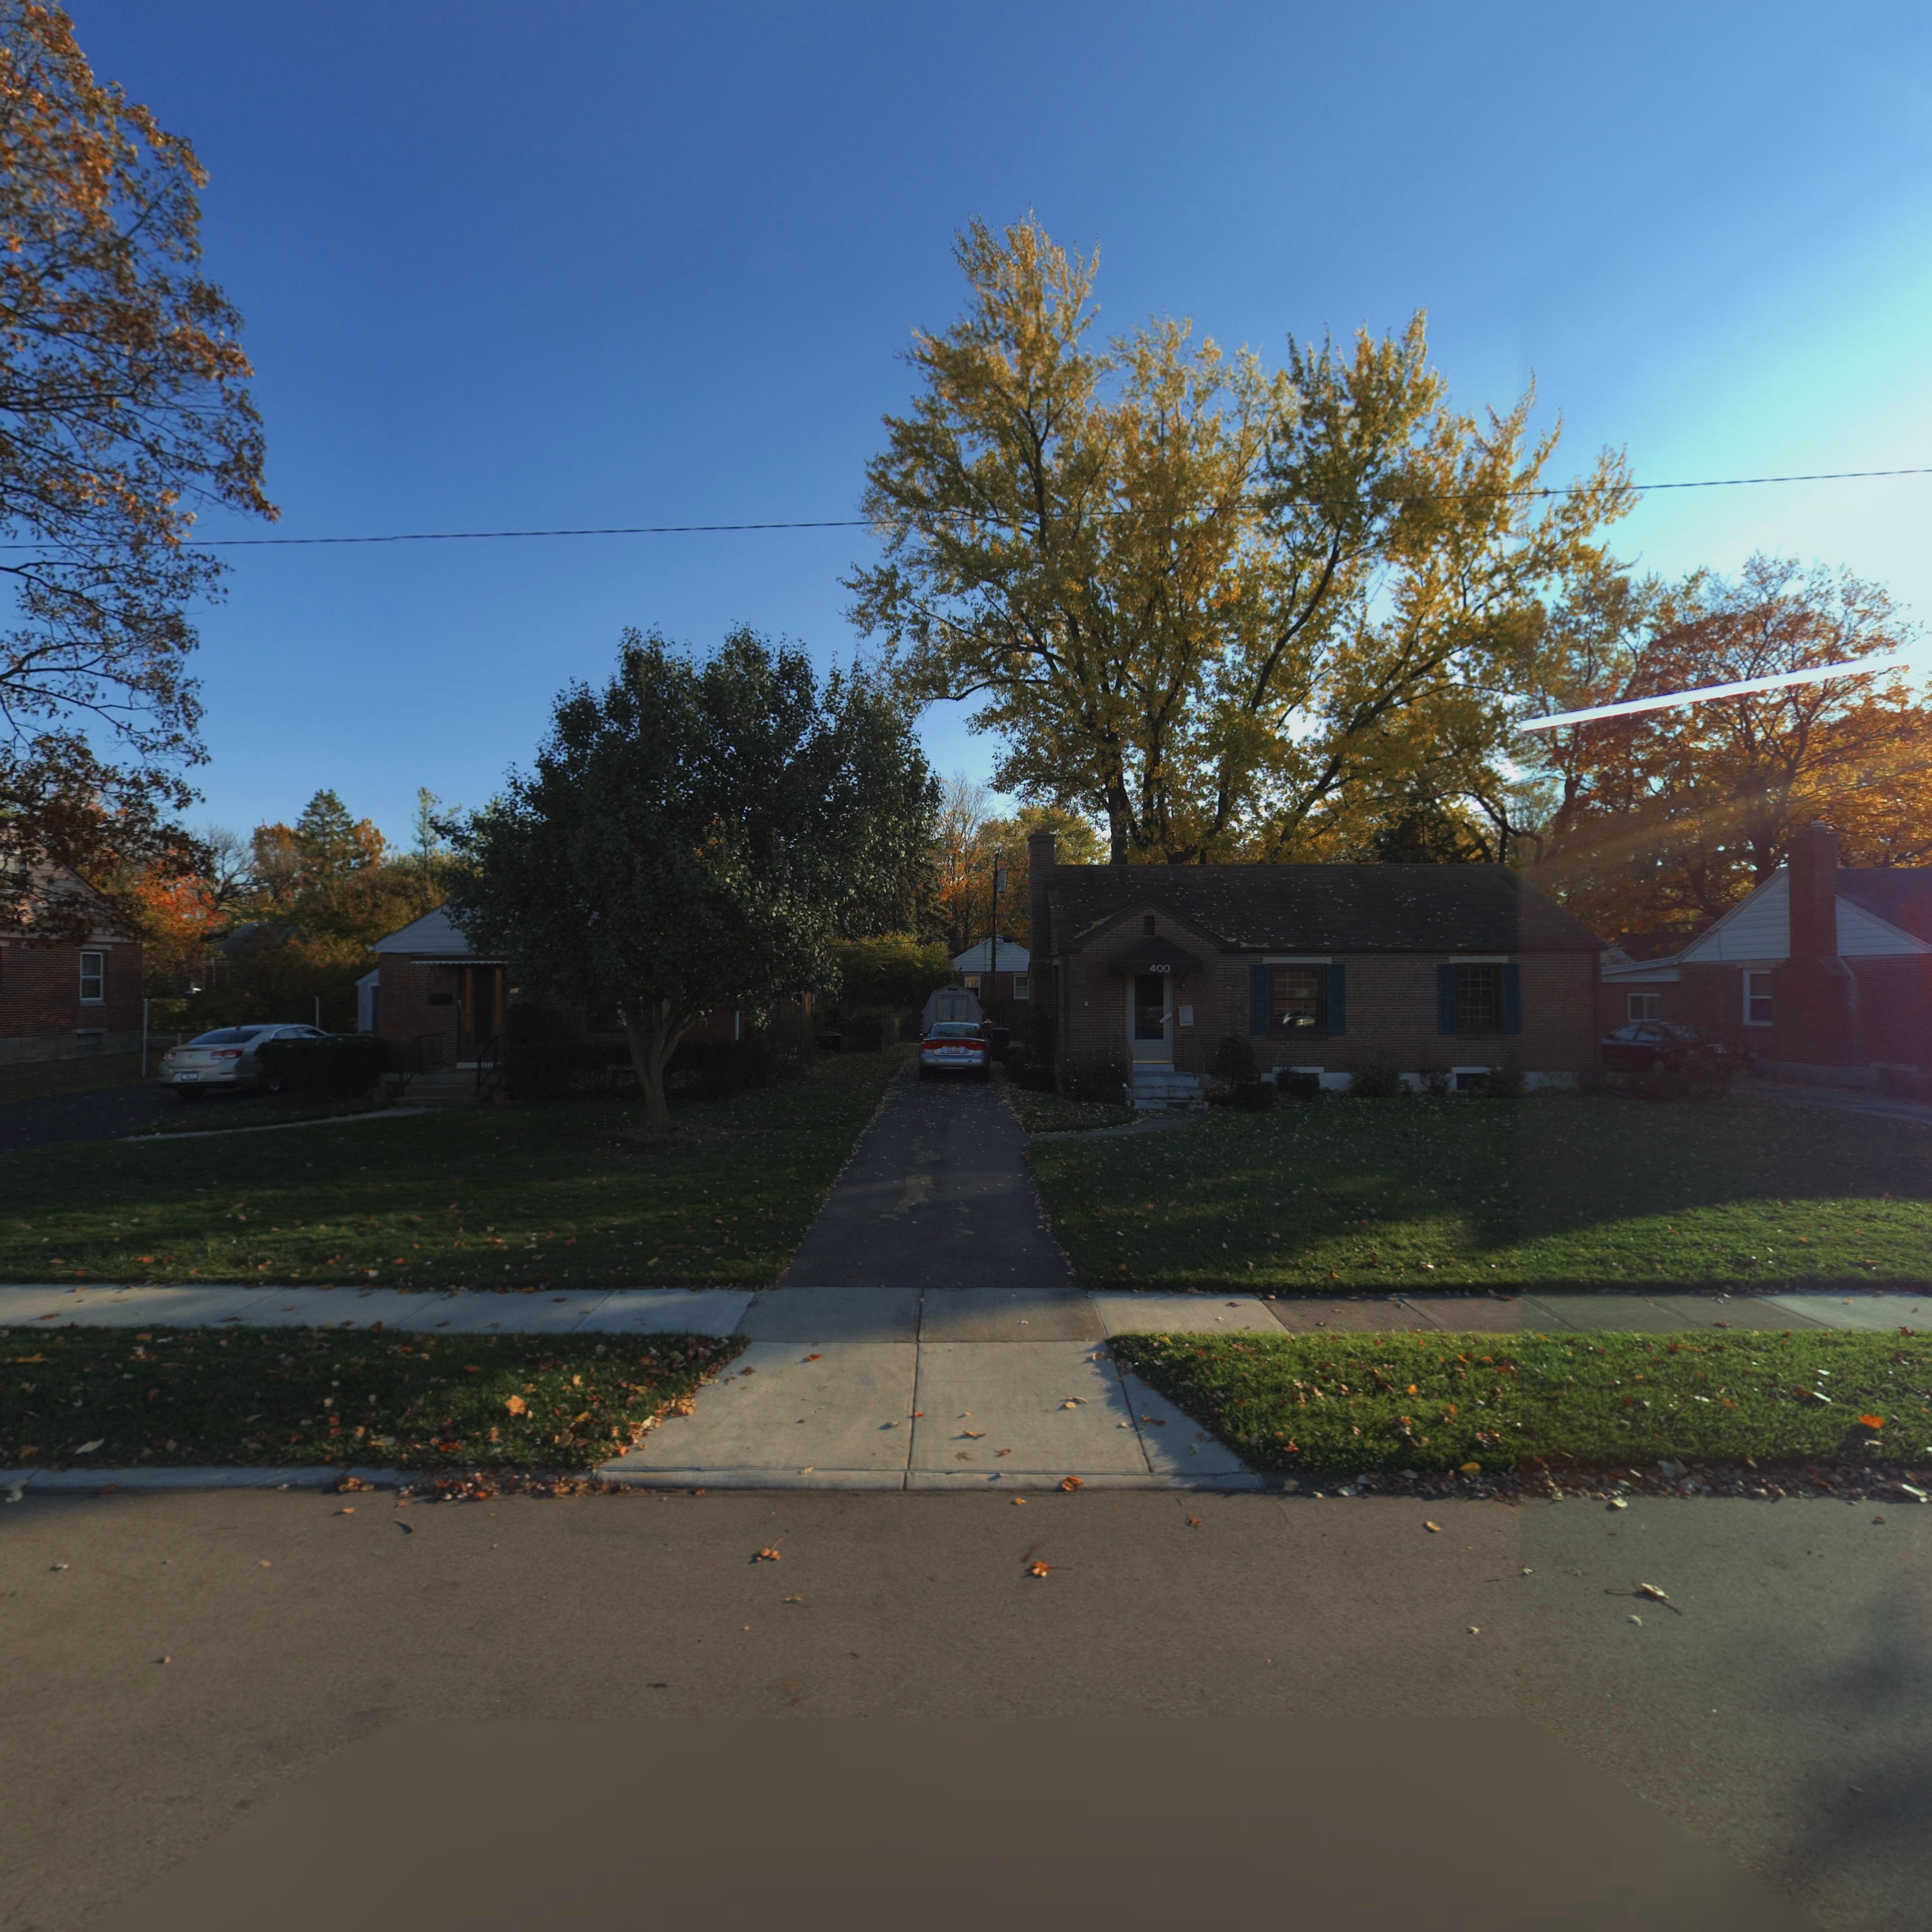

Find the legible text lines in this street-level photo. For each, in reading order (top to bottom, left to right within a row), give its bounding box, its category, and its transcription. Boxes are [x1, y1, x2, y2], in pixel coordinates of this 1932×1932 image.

[1149, 964, 1171, 973] StreetNumber: 400